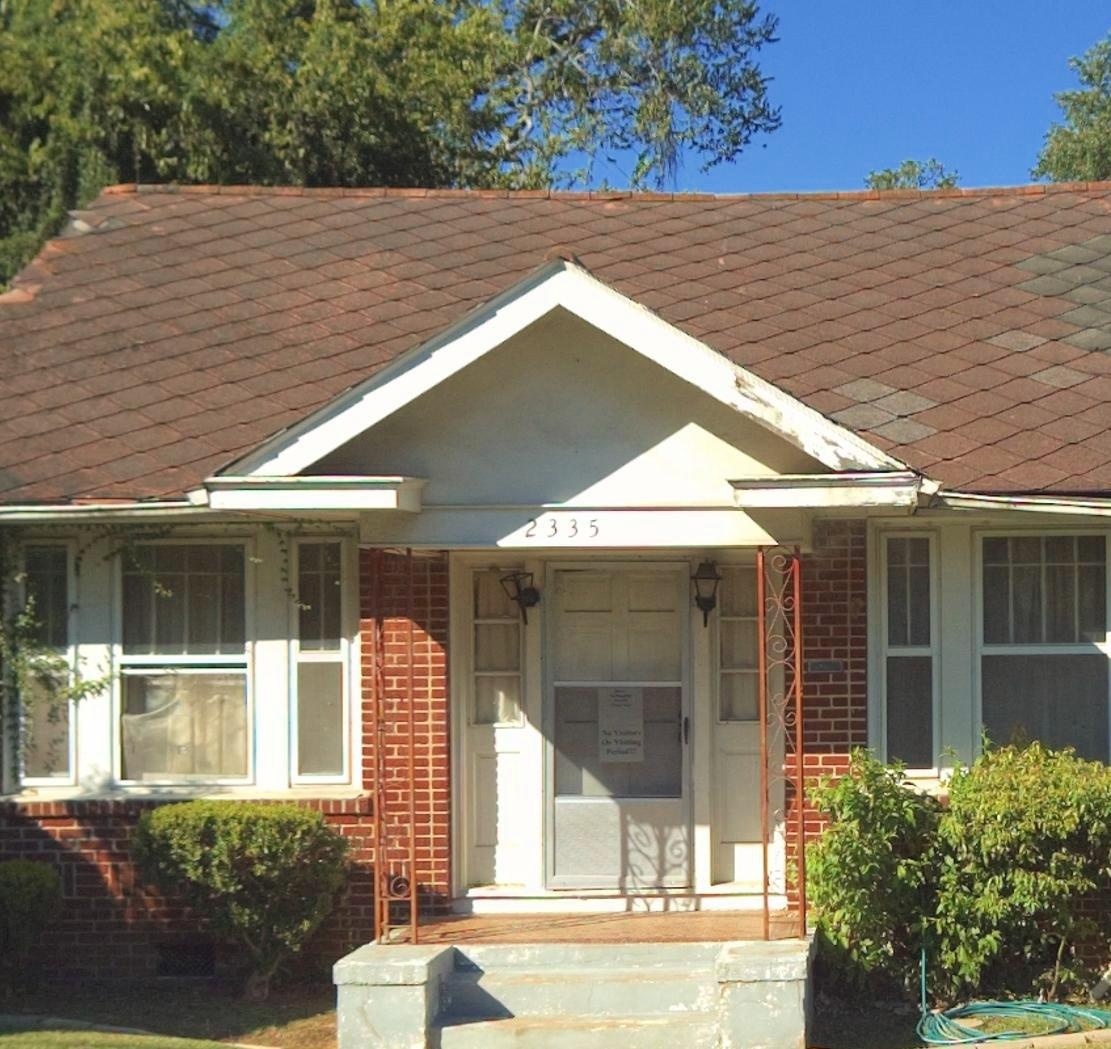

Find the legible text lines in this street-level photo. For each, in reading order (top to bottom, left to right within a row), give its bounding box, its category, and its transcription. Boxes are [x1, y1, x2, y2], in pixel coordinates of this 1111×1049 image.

[523, 516, 601, 541] StreetNumber: 2335